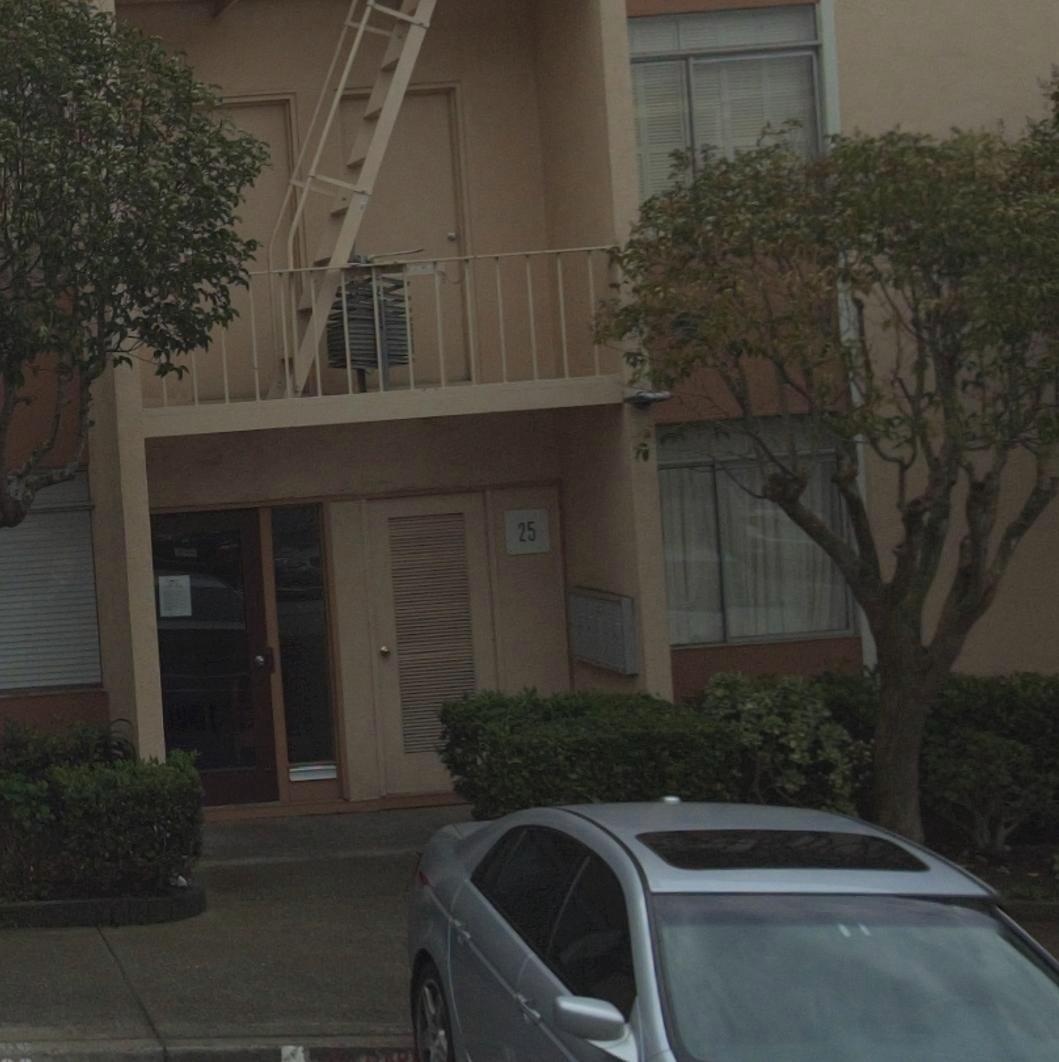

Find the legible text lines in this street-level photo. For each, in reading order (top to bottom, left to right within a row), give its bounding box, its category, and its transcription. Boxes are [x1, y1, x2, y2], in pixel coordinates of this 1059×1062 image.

[515, 518, 538, 546] StreetNumber: 25